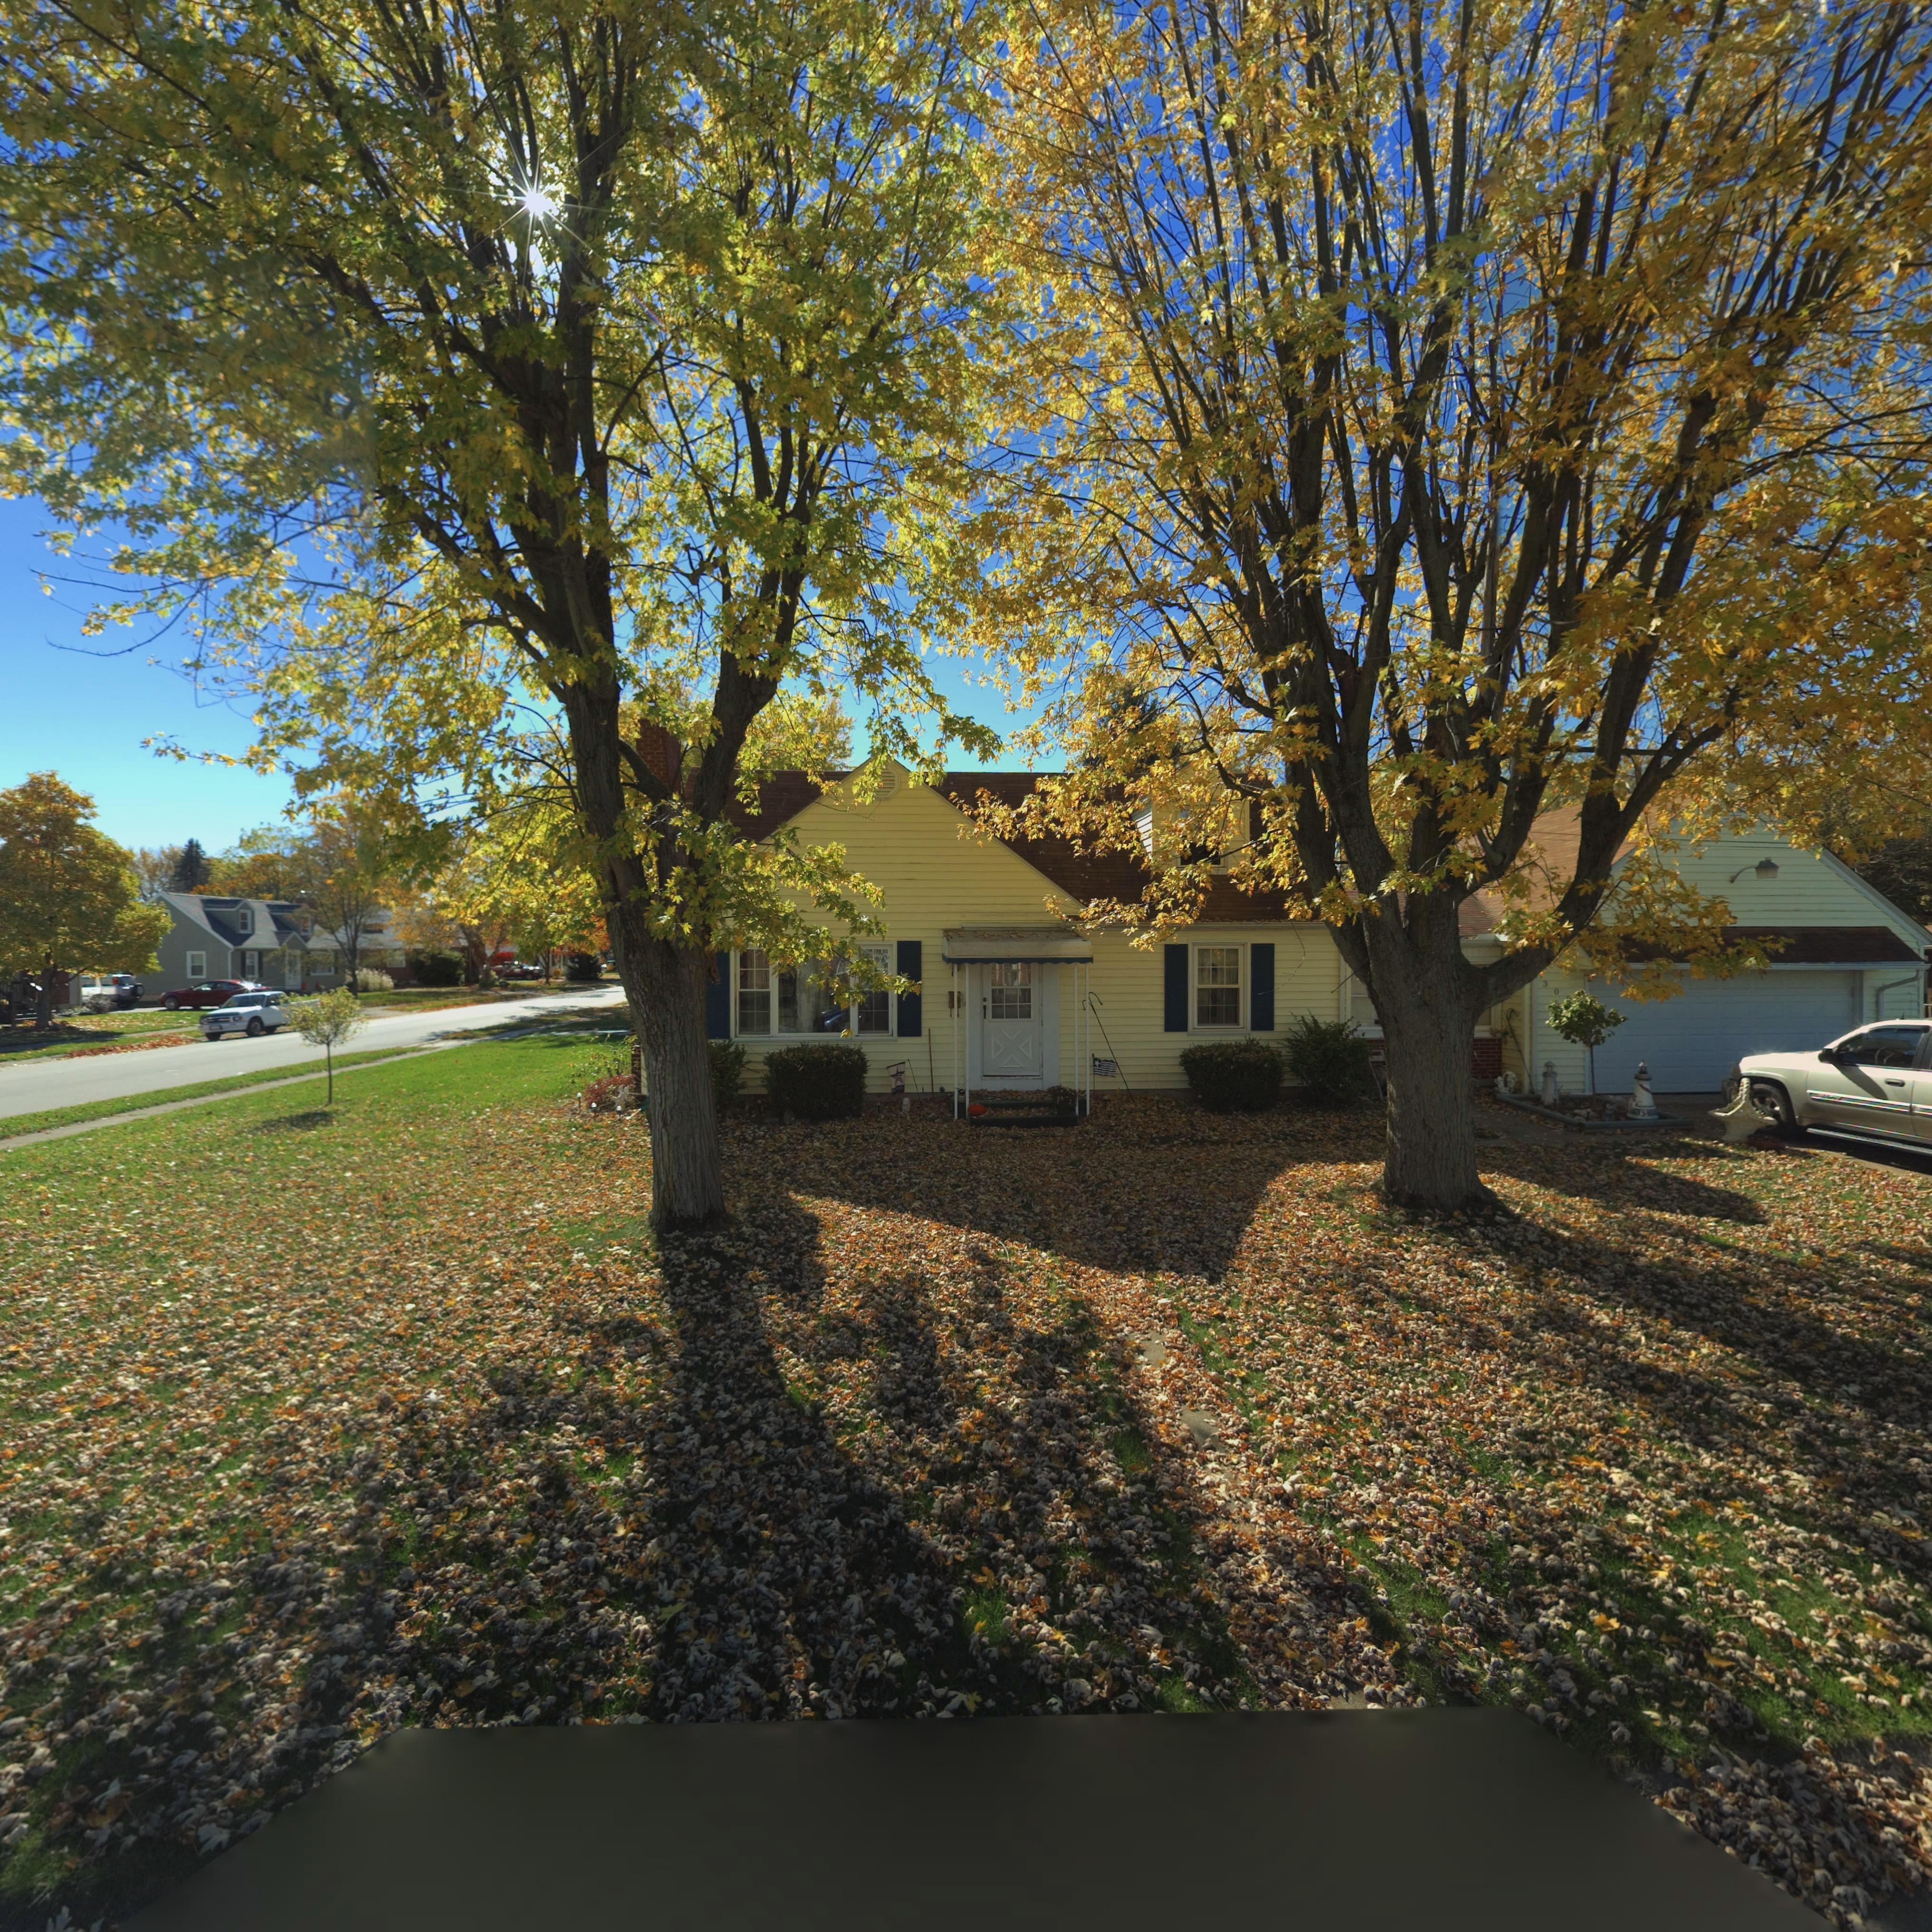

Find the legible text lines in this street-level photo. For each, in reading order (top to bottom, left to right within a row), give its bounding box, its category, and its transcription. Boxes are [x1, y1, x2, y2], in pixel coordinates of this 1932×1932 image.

[1542, 979, 1561, 997] StreetNumber: 30